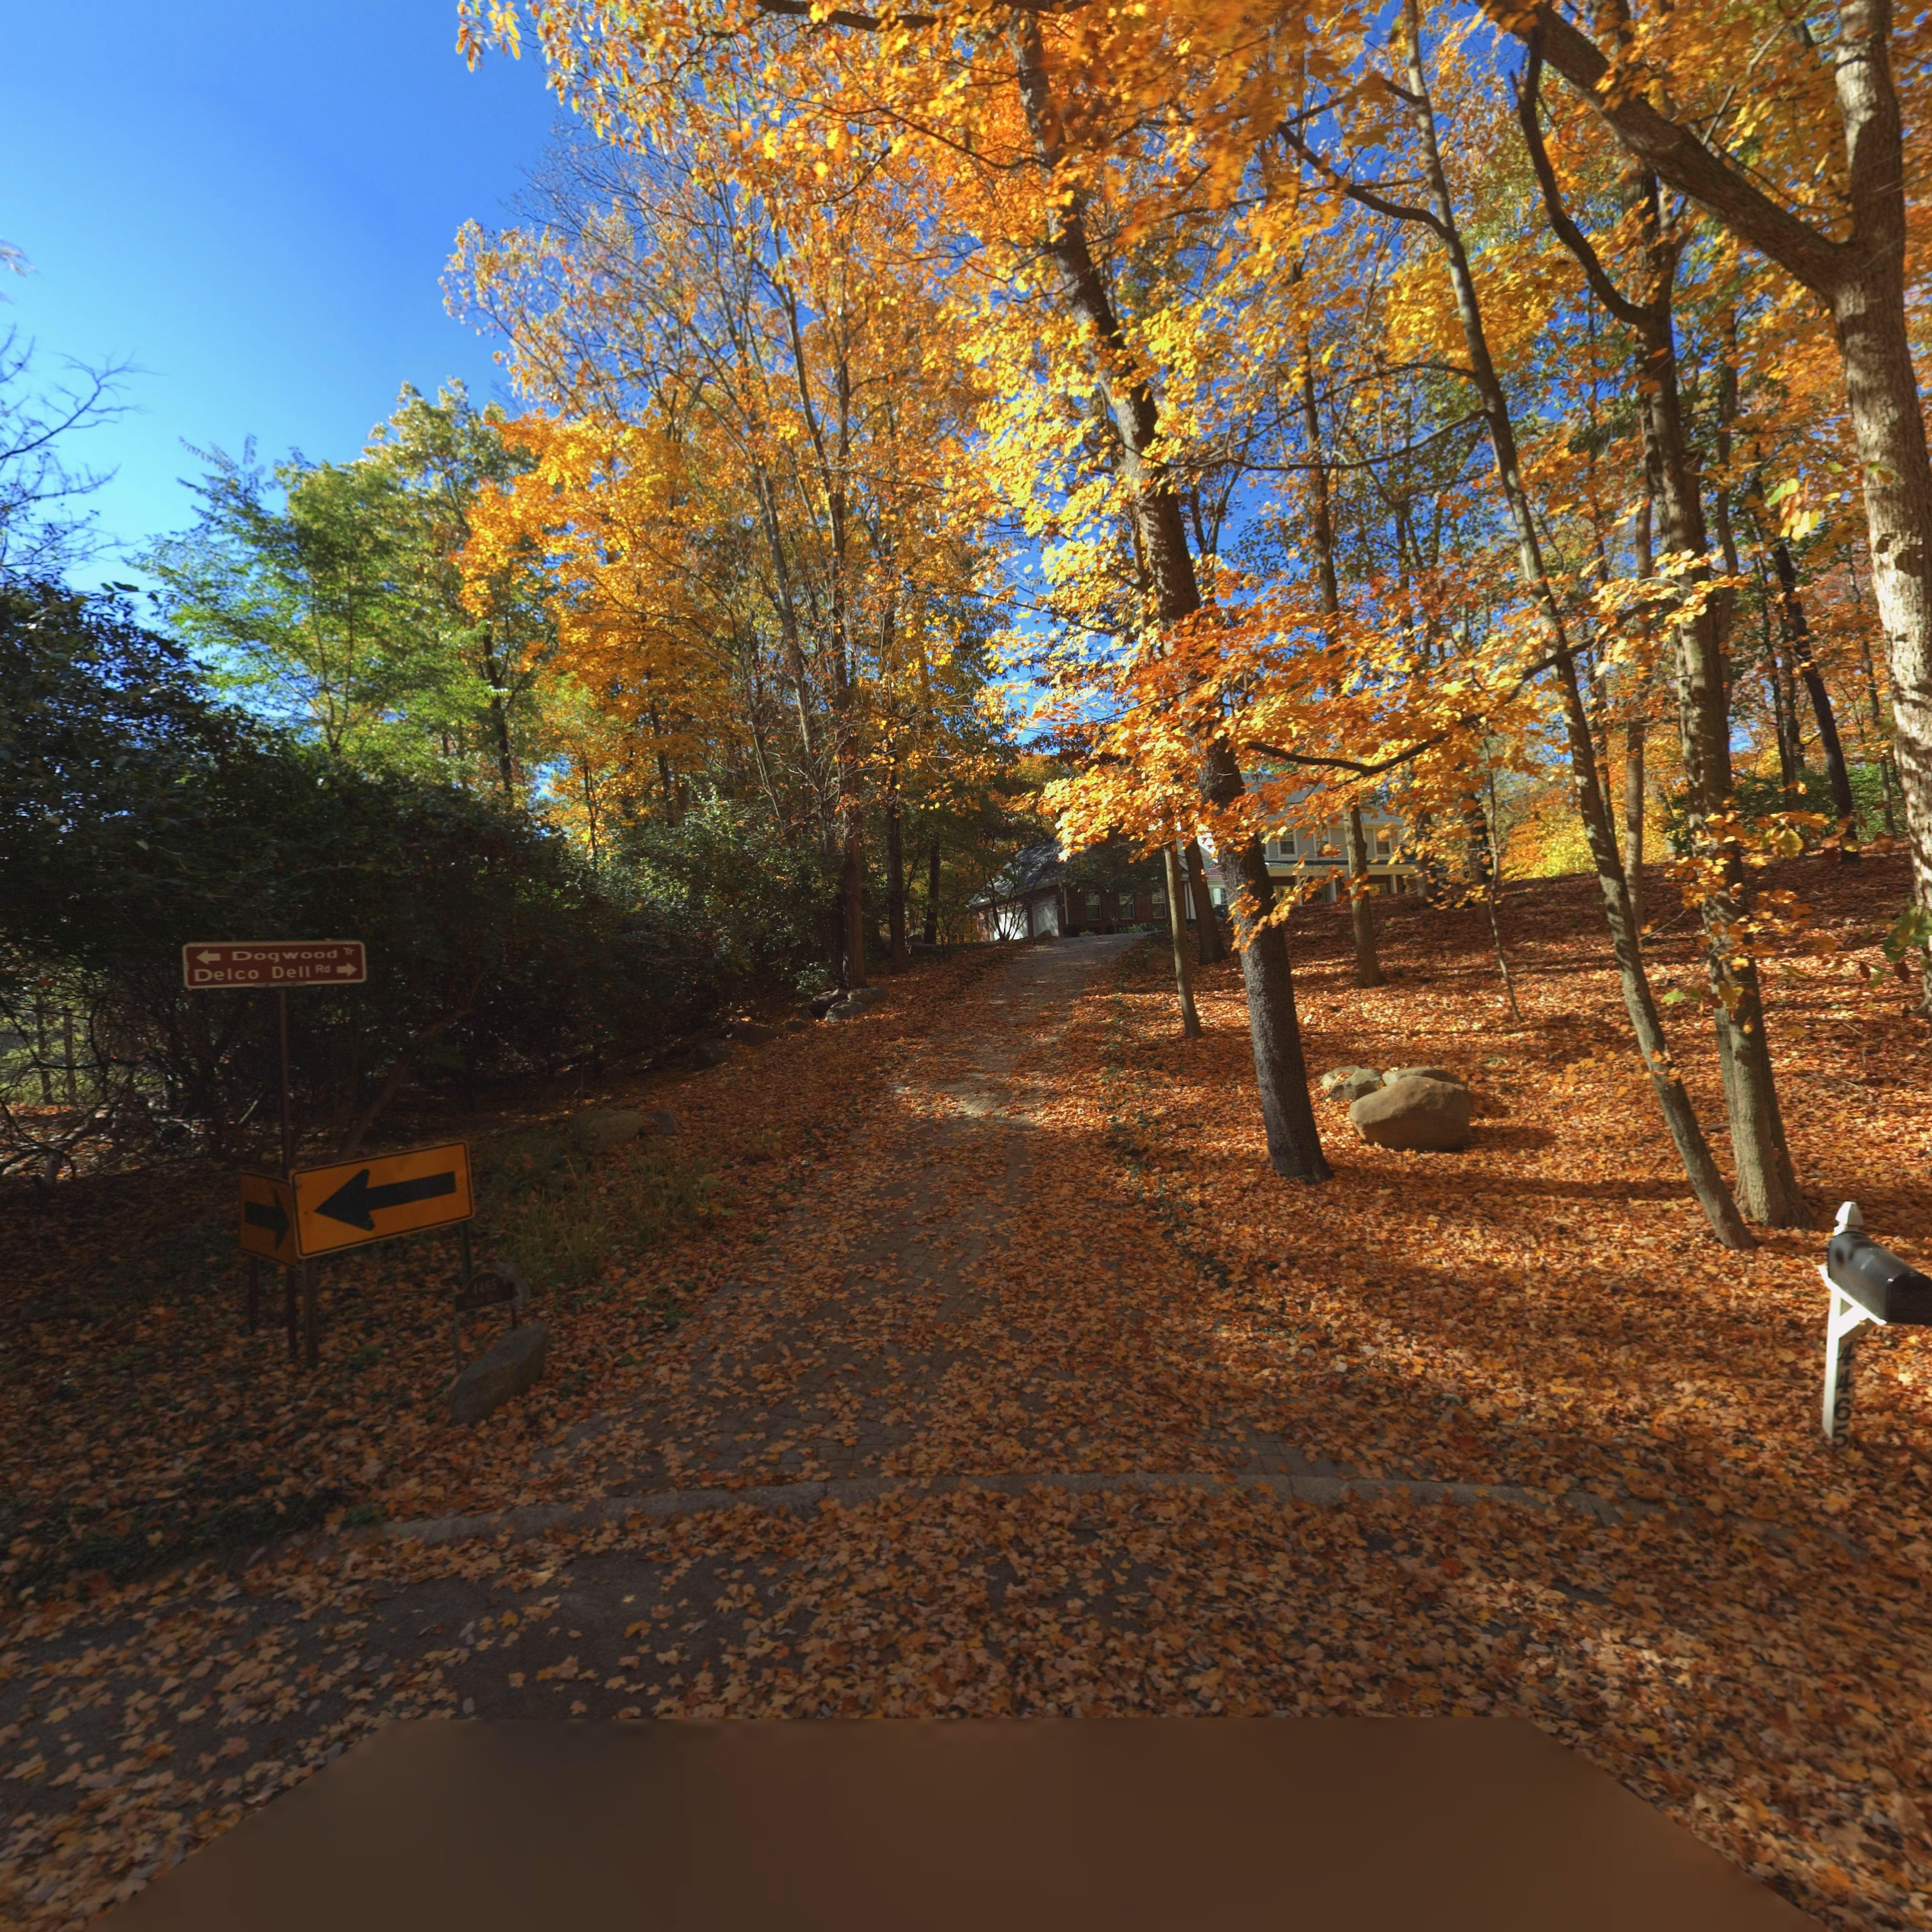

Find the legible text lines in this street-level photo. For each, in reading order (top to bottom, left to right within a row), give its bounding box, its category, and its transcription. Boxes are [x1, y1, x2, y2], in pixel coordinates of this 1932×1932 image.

[230, 947, 356, 964] StreetName: Dogwood Tr
[193, 963, 332, 984] StreetName: Delco Dell Rd
[1828, 1338, 1858, 1450] StreetNumber: 4465